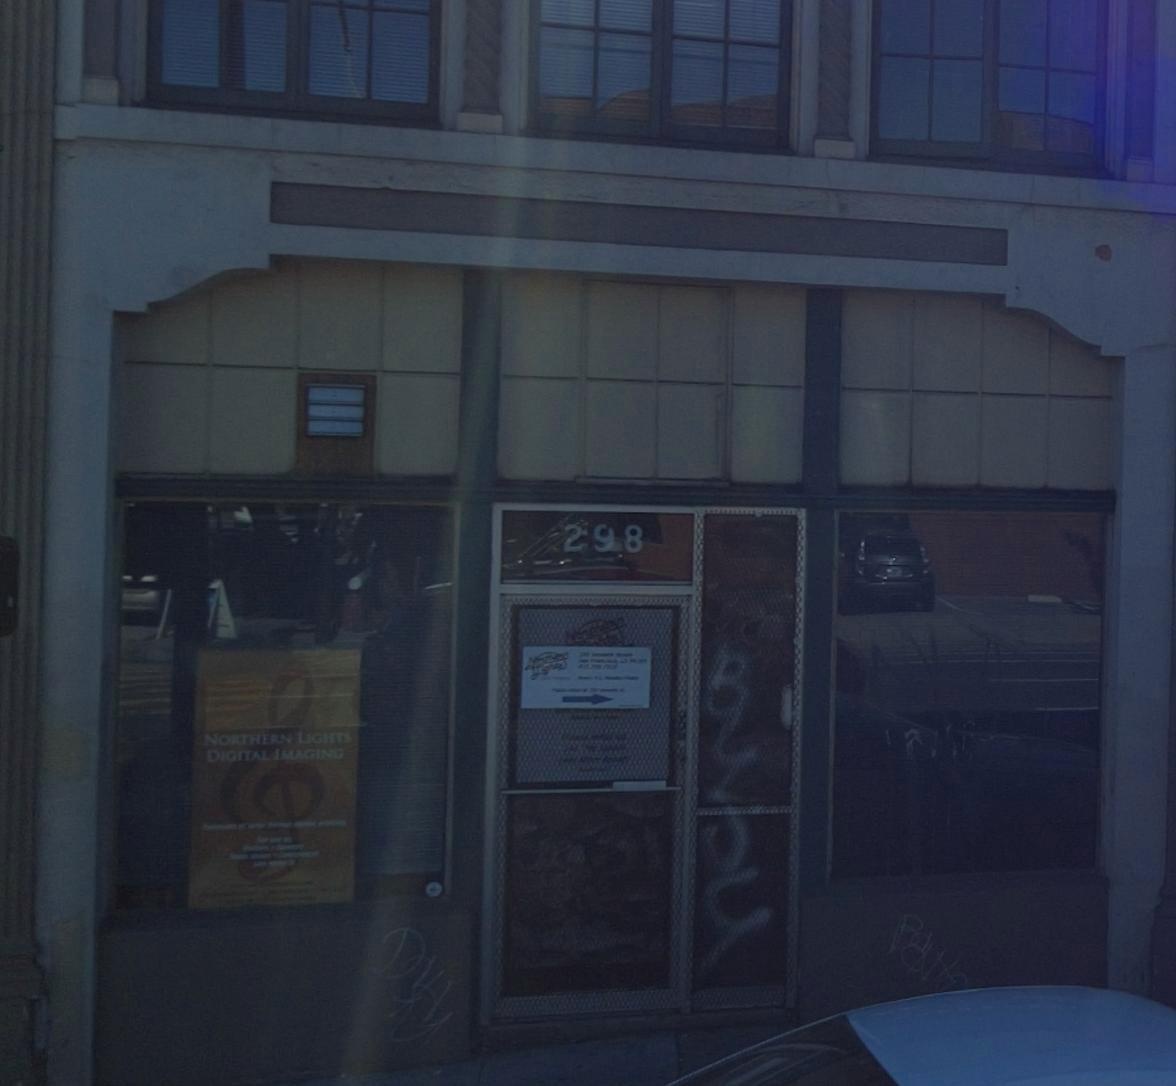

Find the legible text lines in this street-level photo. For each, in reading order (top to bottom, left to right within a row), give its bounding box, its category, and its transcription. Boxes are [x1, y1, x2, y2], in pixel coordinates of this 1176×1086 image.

[562, 522, 645, 555] StreetNumber: 298
[203, 729, 353, 748] BusinessName: NORTHERN LIGHTS
[206, 747, 346, 763] BusinessName: DIGITAL IMAGING